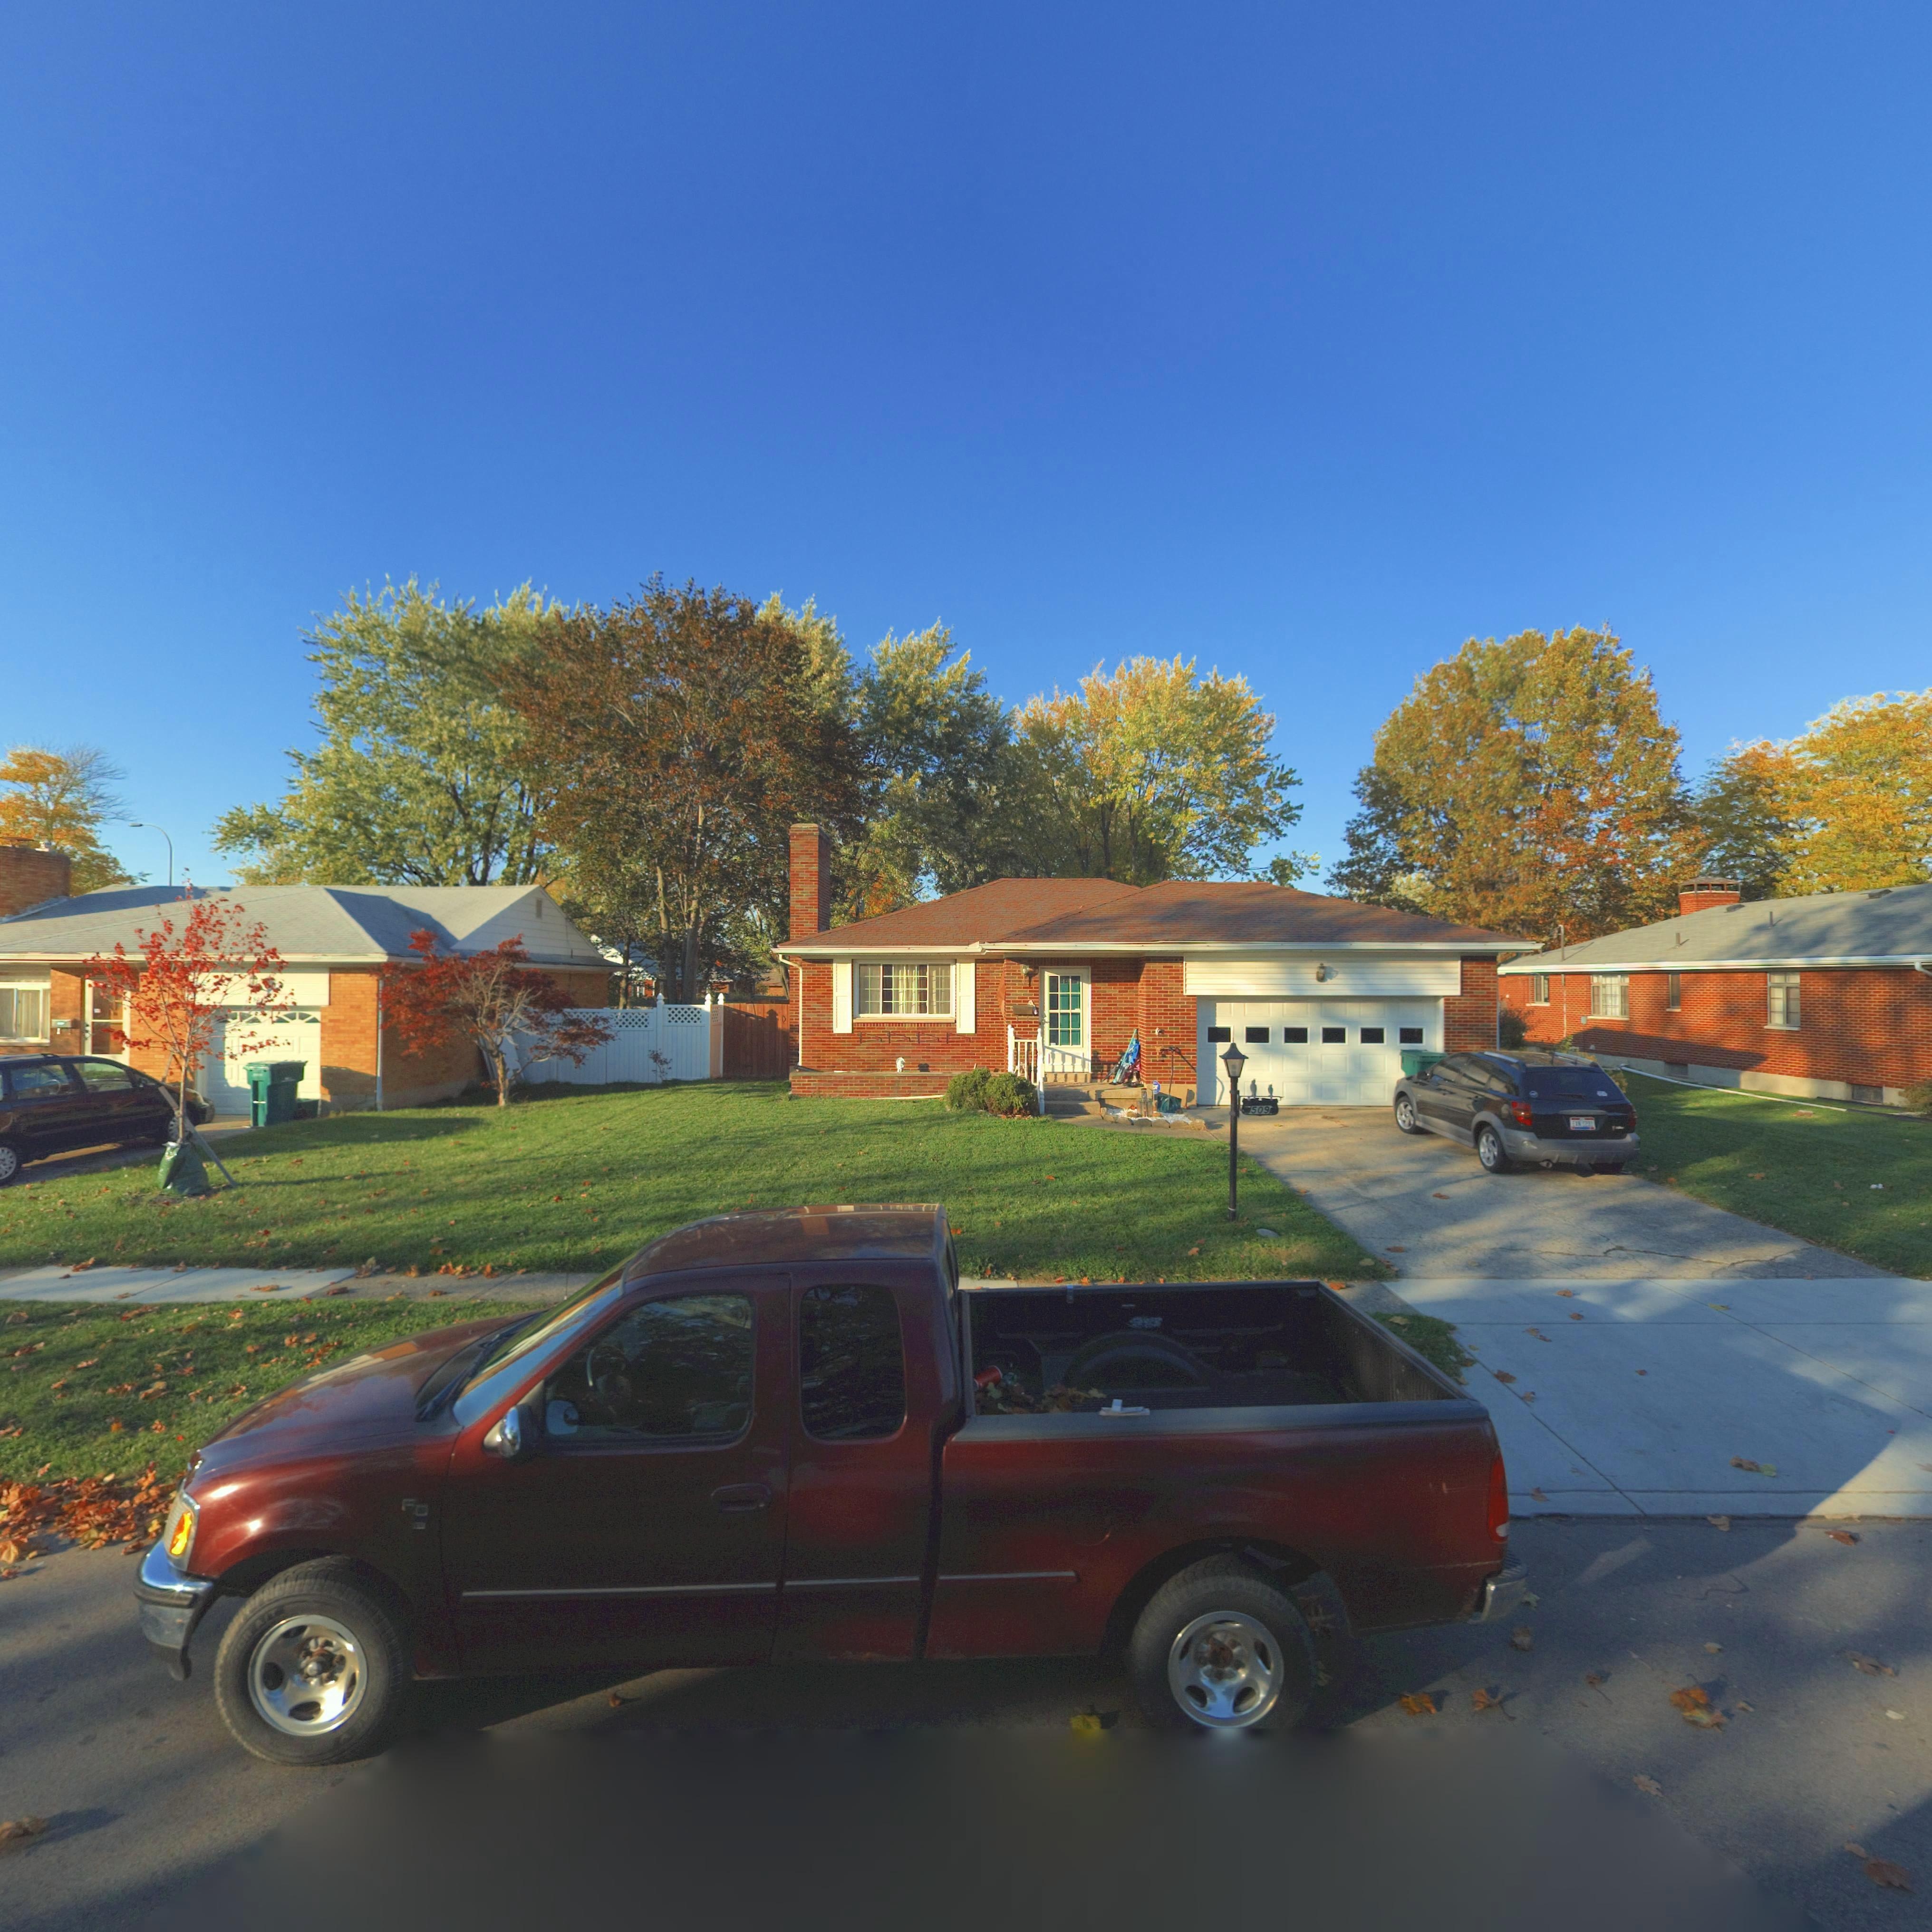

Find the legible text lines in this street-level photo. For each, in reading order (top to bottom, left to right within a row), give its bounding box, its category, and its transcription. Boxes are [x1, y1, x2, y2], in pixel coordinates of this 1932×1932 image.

[1250, 1106, 1270, 1114] StreetNumber: 509